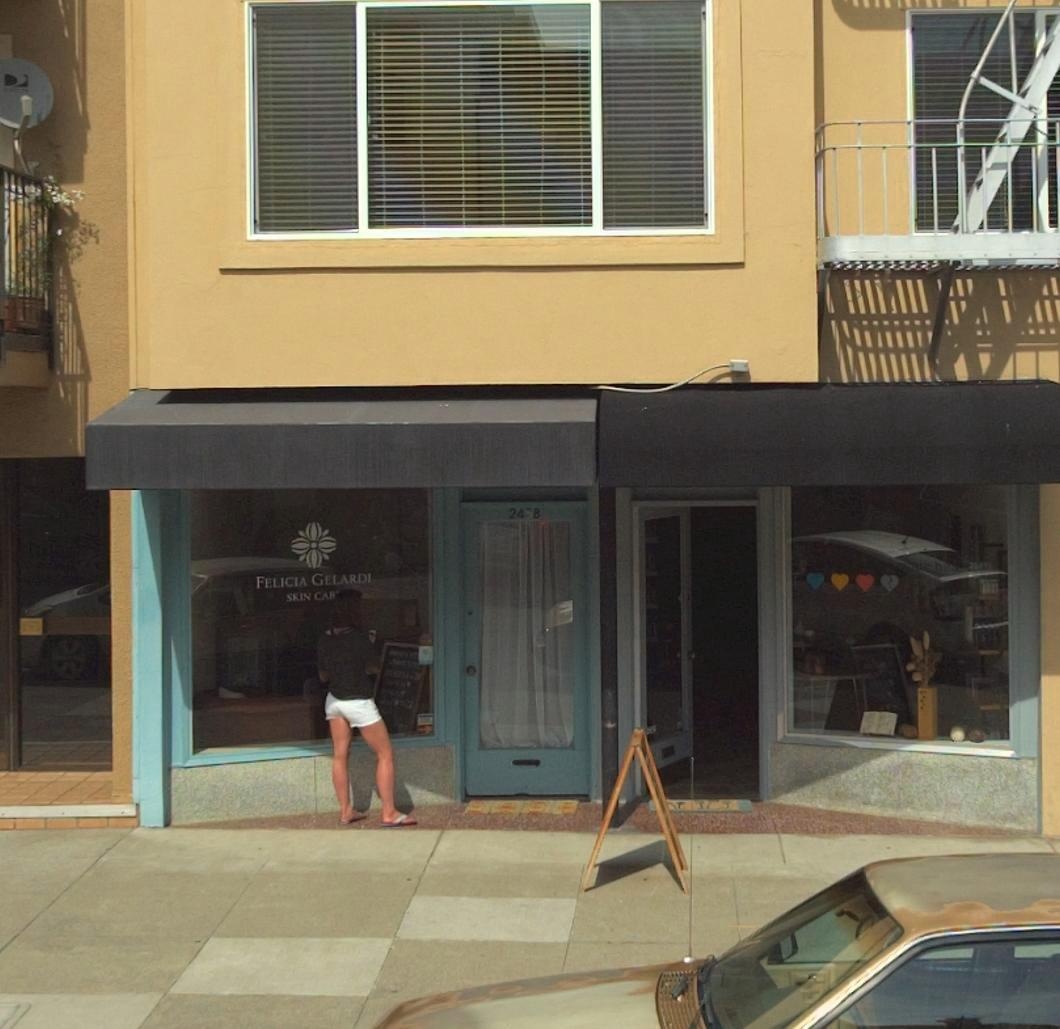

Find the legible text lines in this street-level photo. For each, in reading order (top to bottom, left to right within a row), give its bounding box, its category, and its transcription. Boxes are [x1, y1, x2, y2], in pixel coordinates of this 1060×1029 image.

[507, 505, 542, 522] StreetNumber: 24*8
[254, 571, 374, 591] BusinessName: FELICIA GELARDI
[284, 589, 332, 605] None: SKIN CA